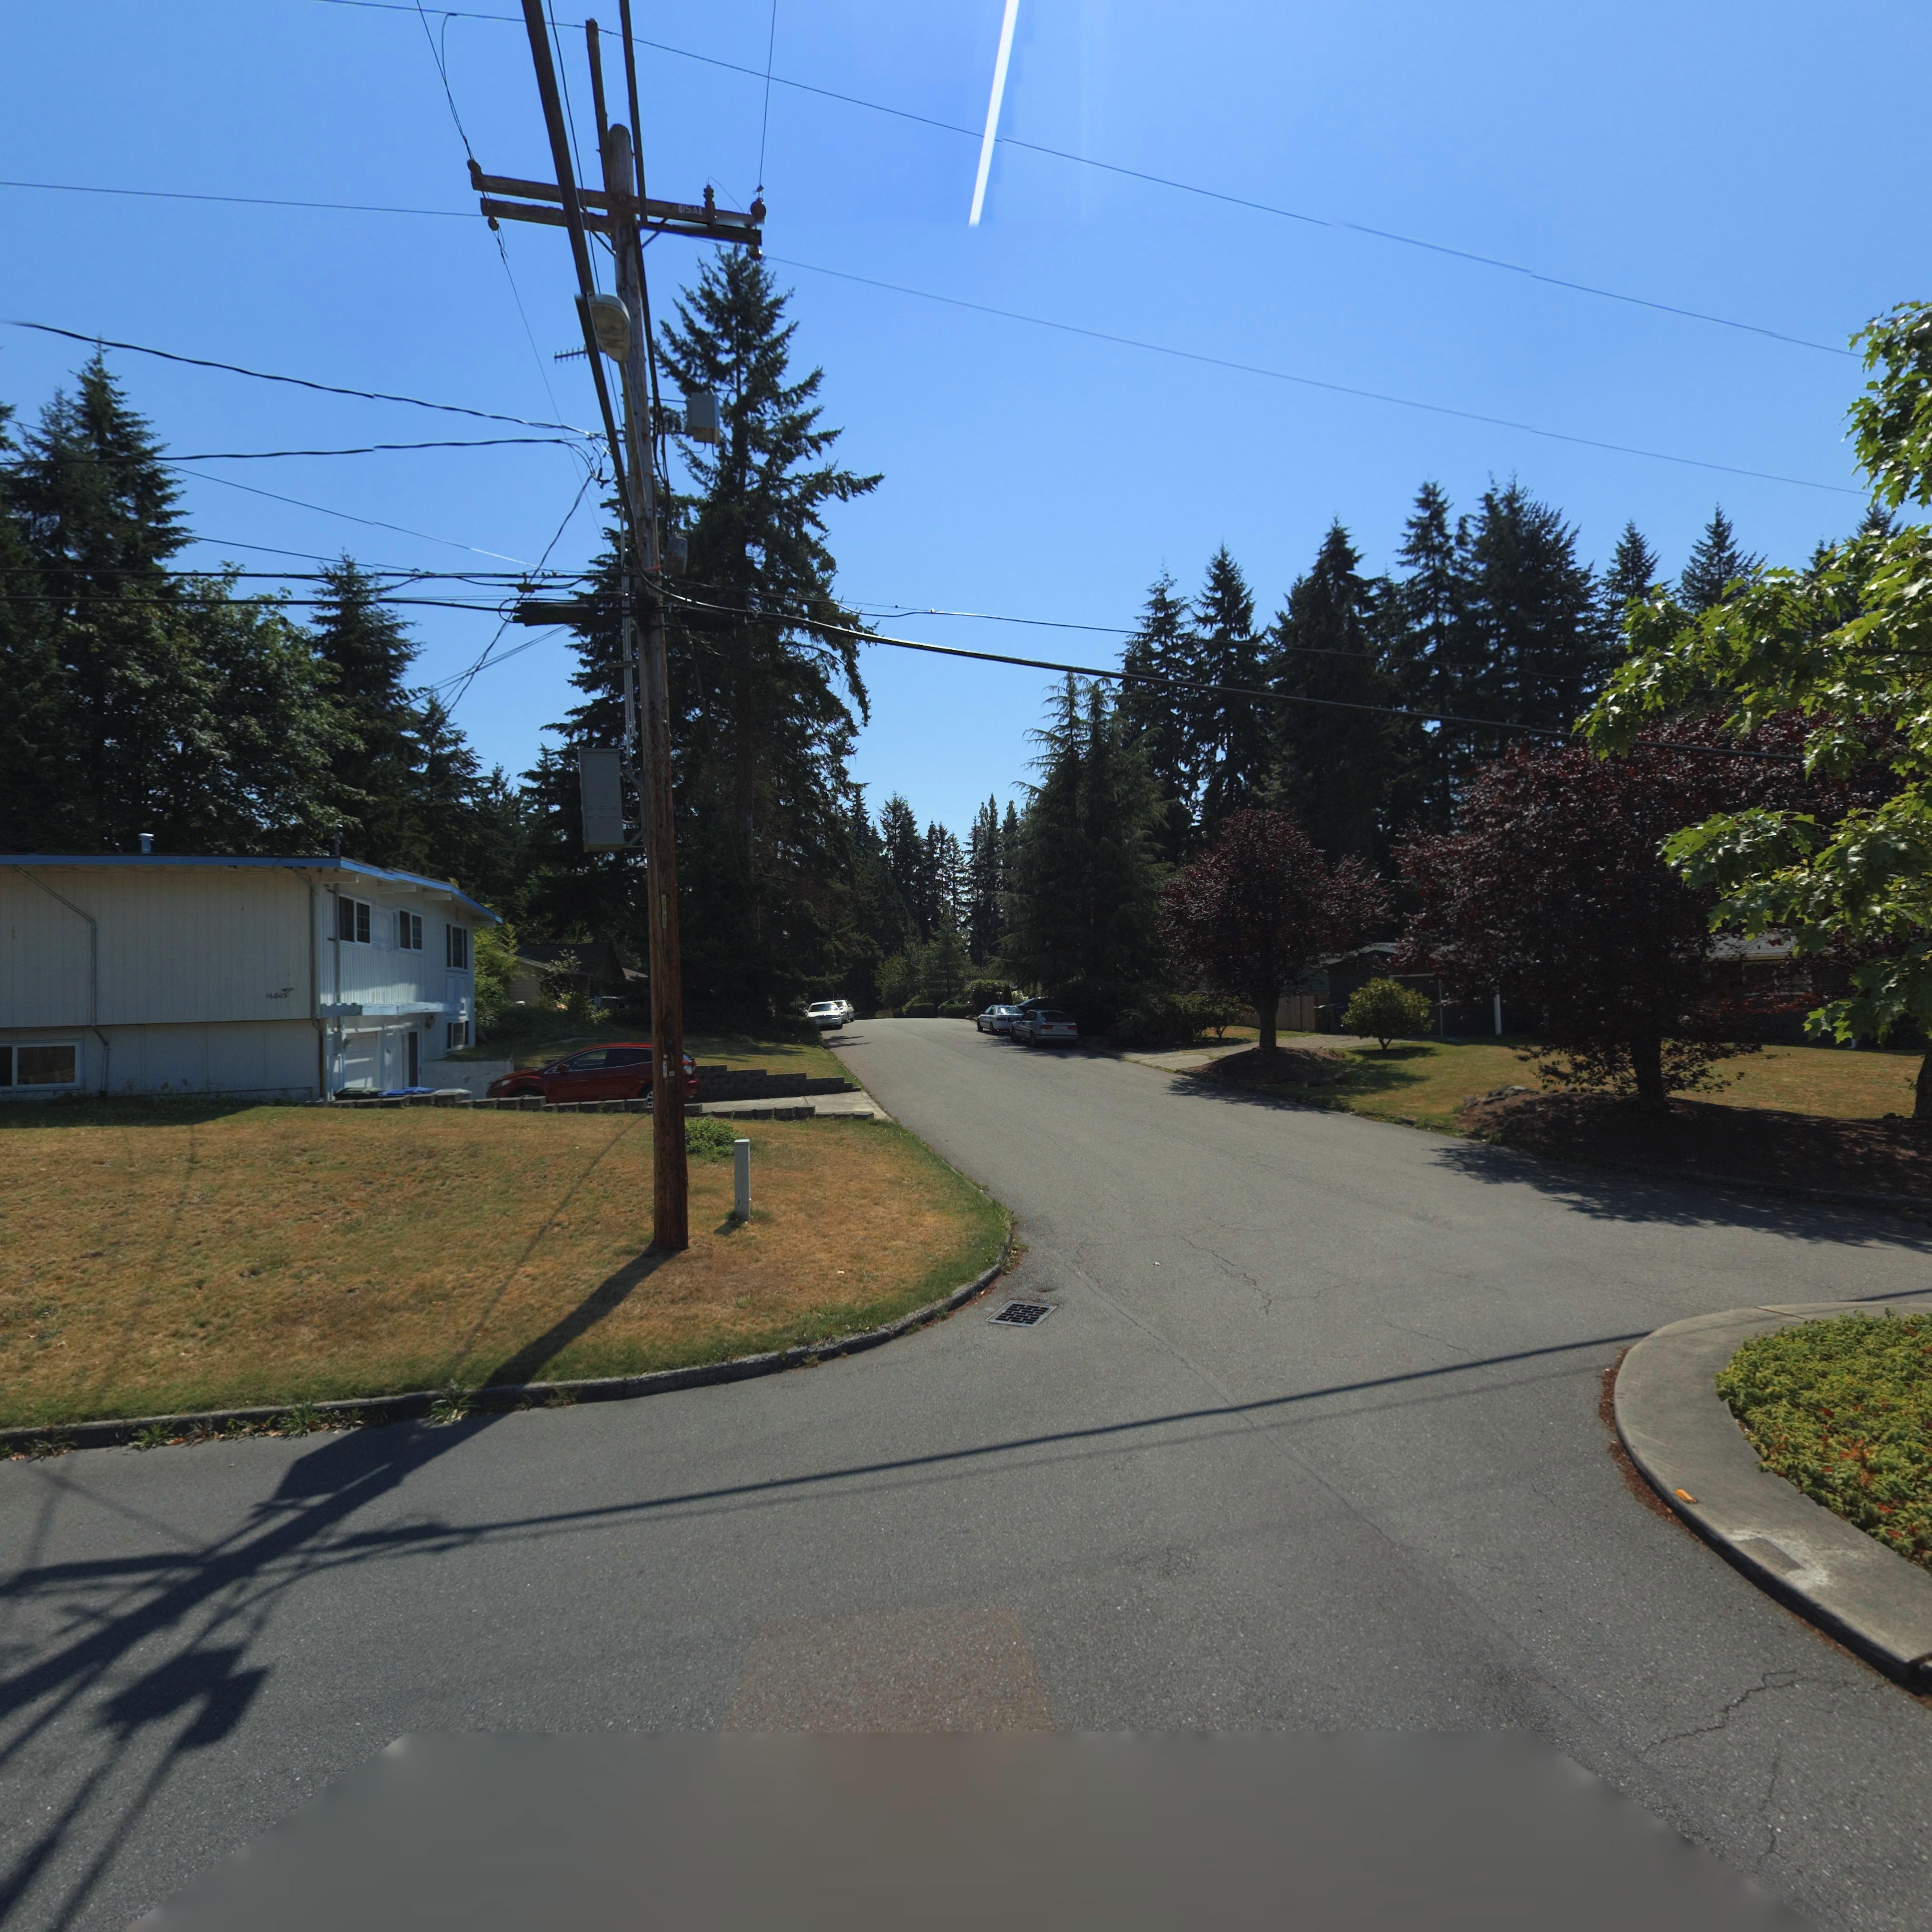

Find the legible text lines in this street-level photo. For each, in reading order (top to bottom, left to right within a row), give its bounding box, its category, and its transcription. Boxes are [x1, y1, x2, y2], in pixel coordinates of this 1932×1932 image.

[264, 993, 289, 1000] StreetNumber: 16803